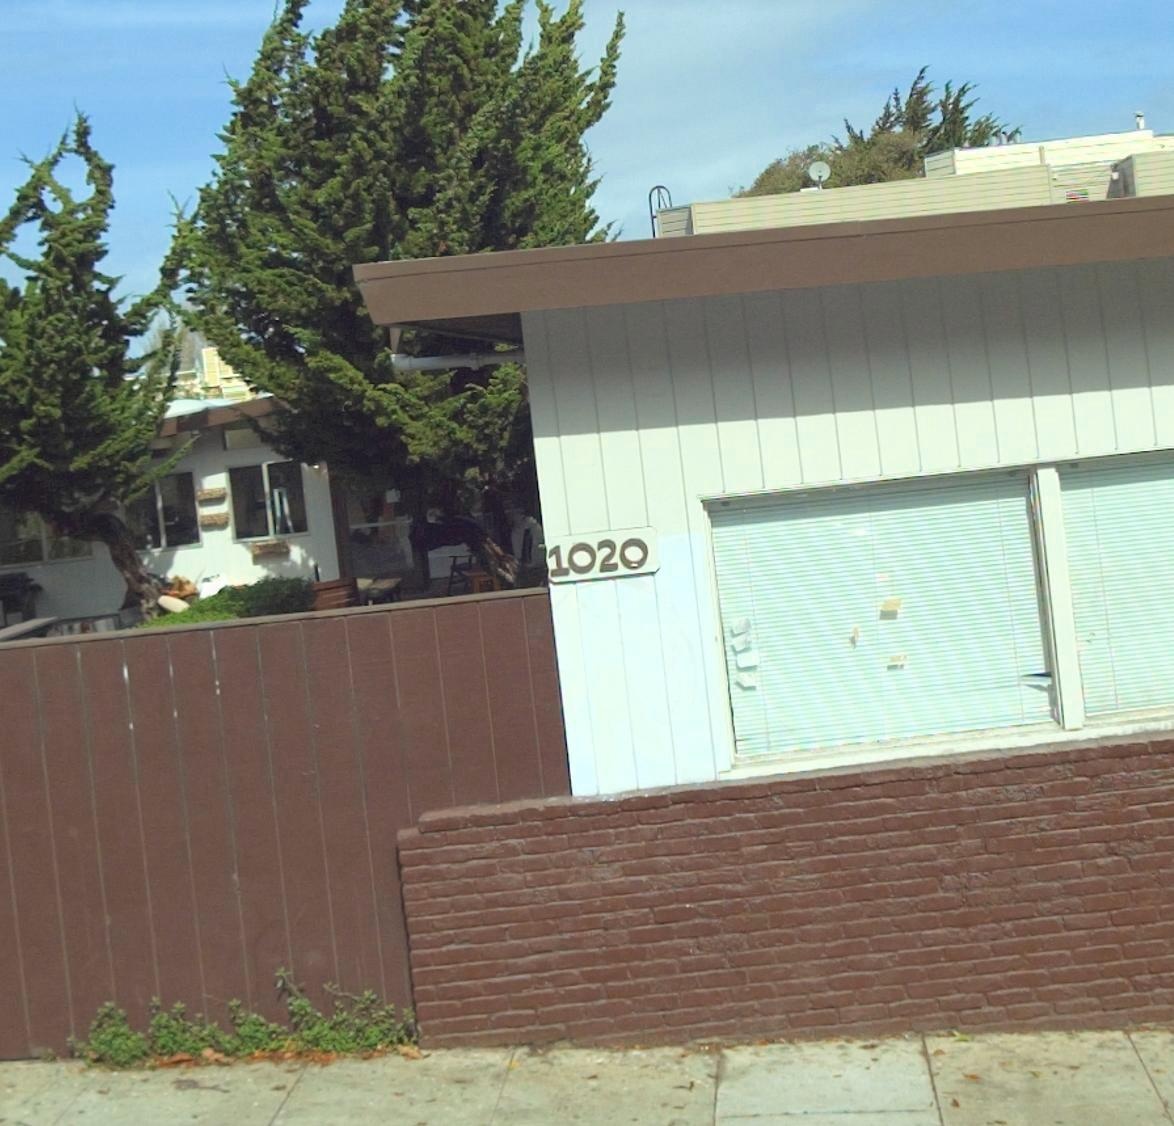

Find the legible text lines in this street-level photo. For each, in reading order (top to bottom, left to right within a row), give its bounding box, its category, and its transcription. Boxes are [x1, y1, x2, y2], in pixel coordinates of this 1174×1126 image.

[544, 532, 653, 581] StreetNumber: 1020